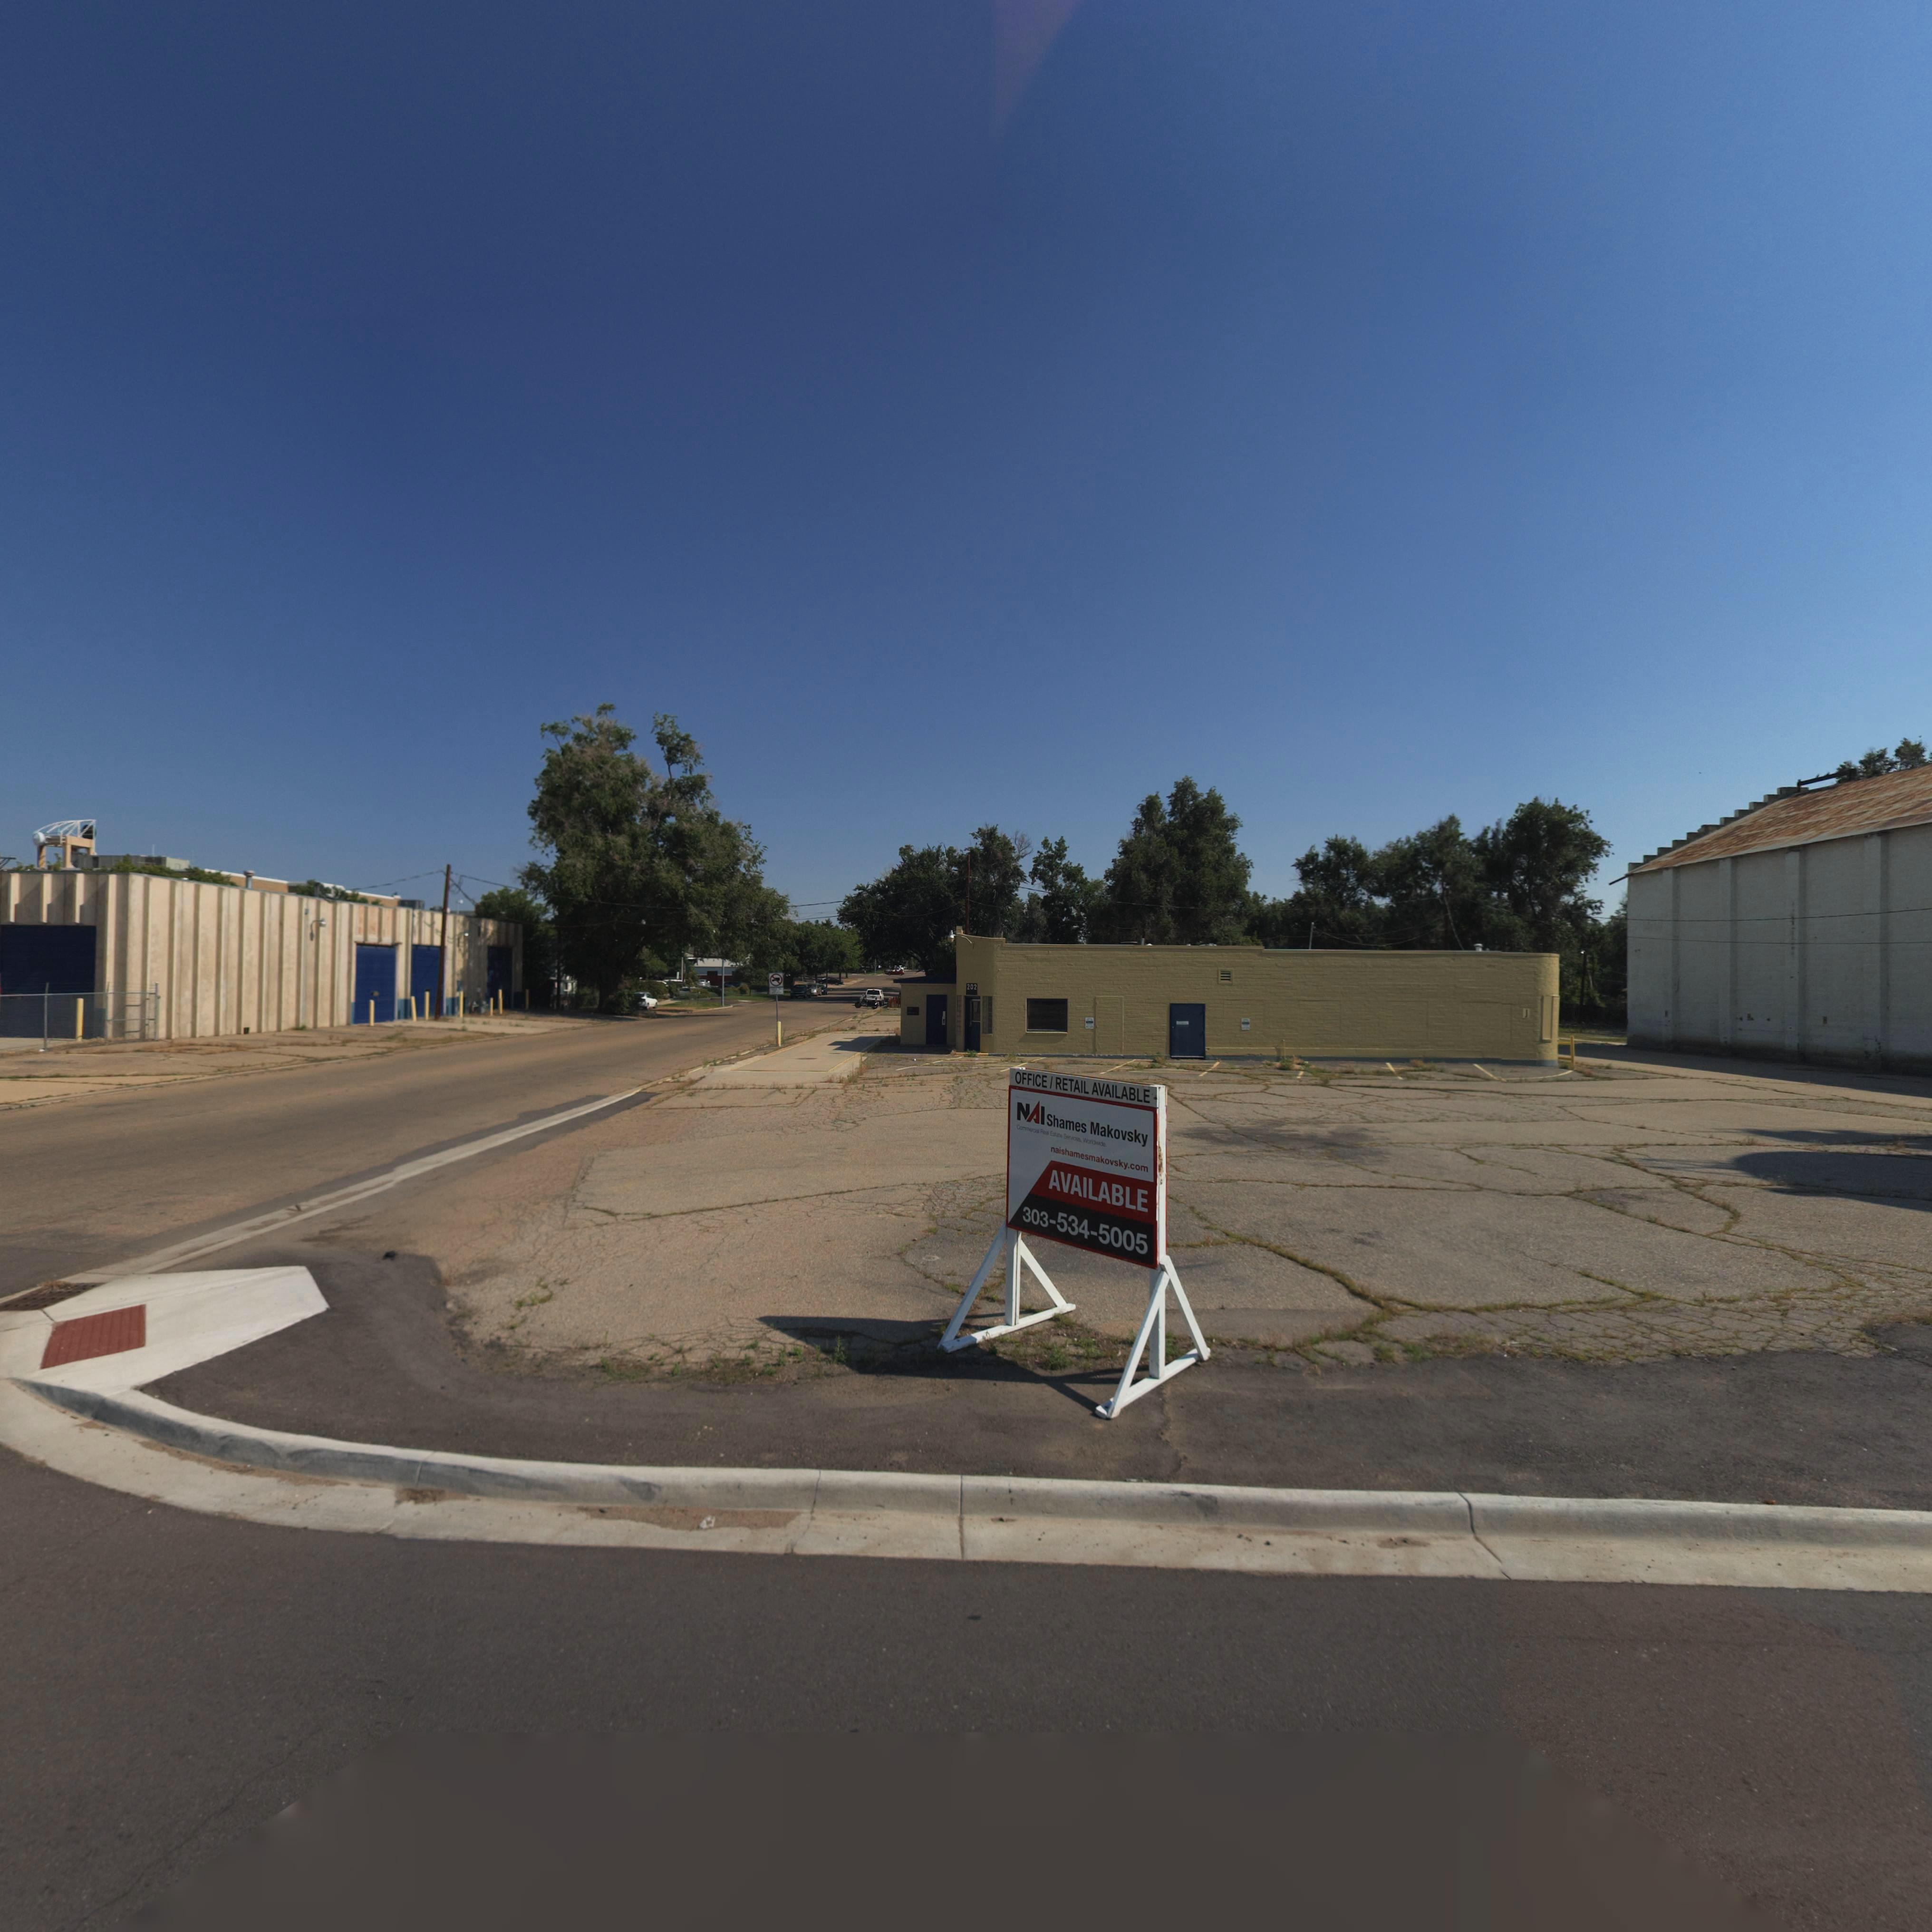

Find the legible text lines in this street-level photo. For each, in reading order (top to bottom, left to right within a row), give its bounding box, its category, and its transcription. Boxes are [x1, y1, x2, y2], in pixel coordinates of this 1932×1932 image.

[966, 984, 976, 990] StreetNumber: 202